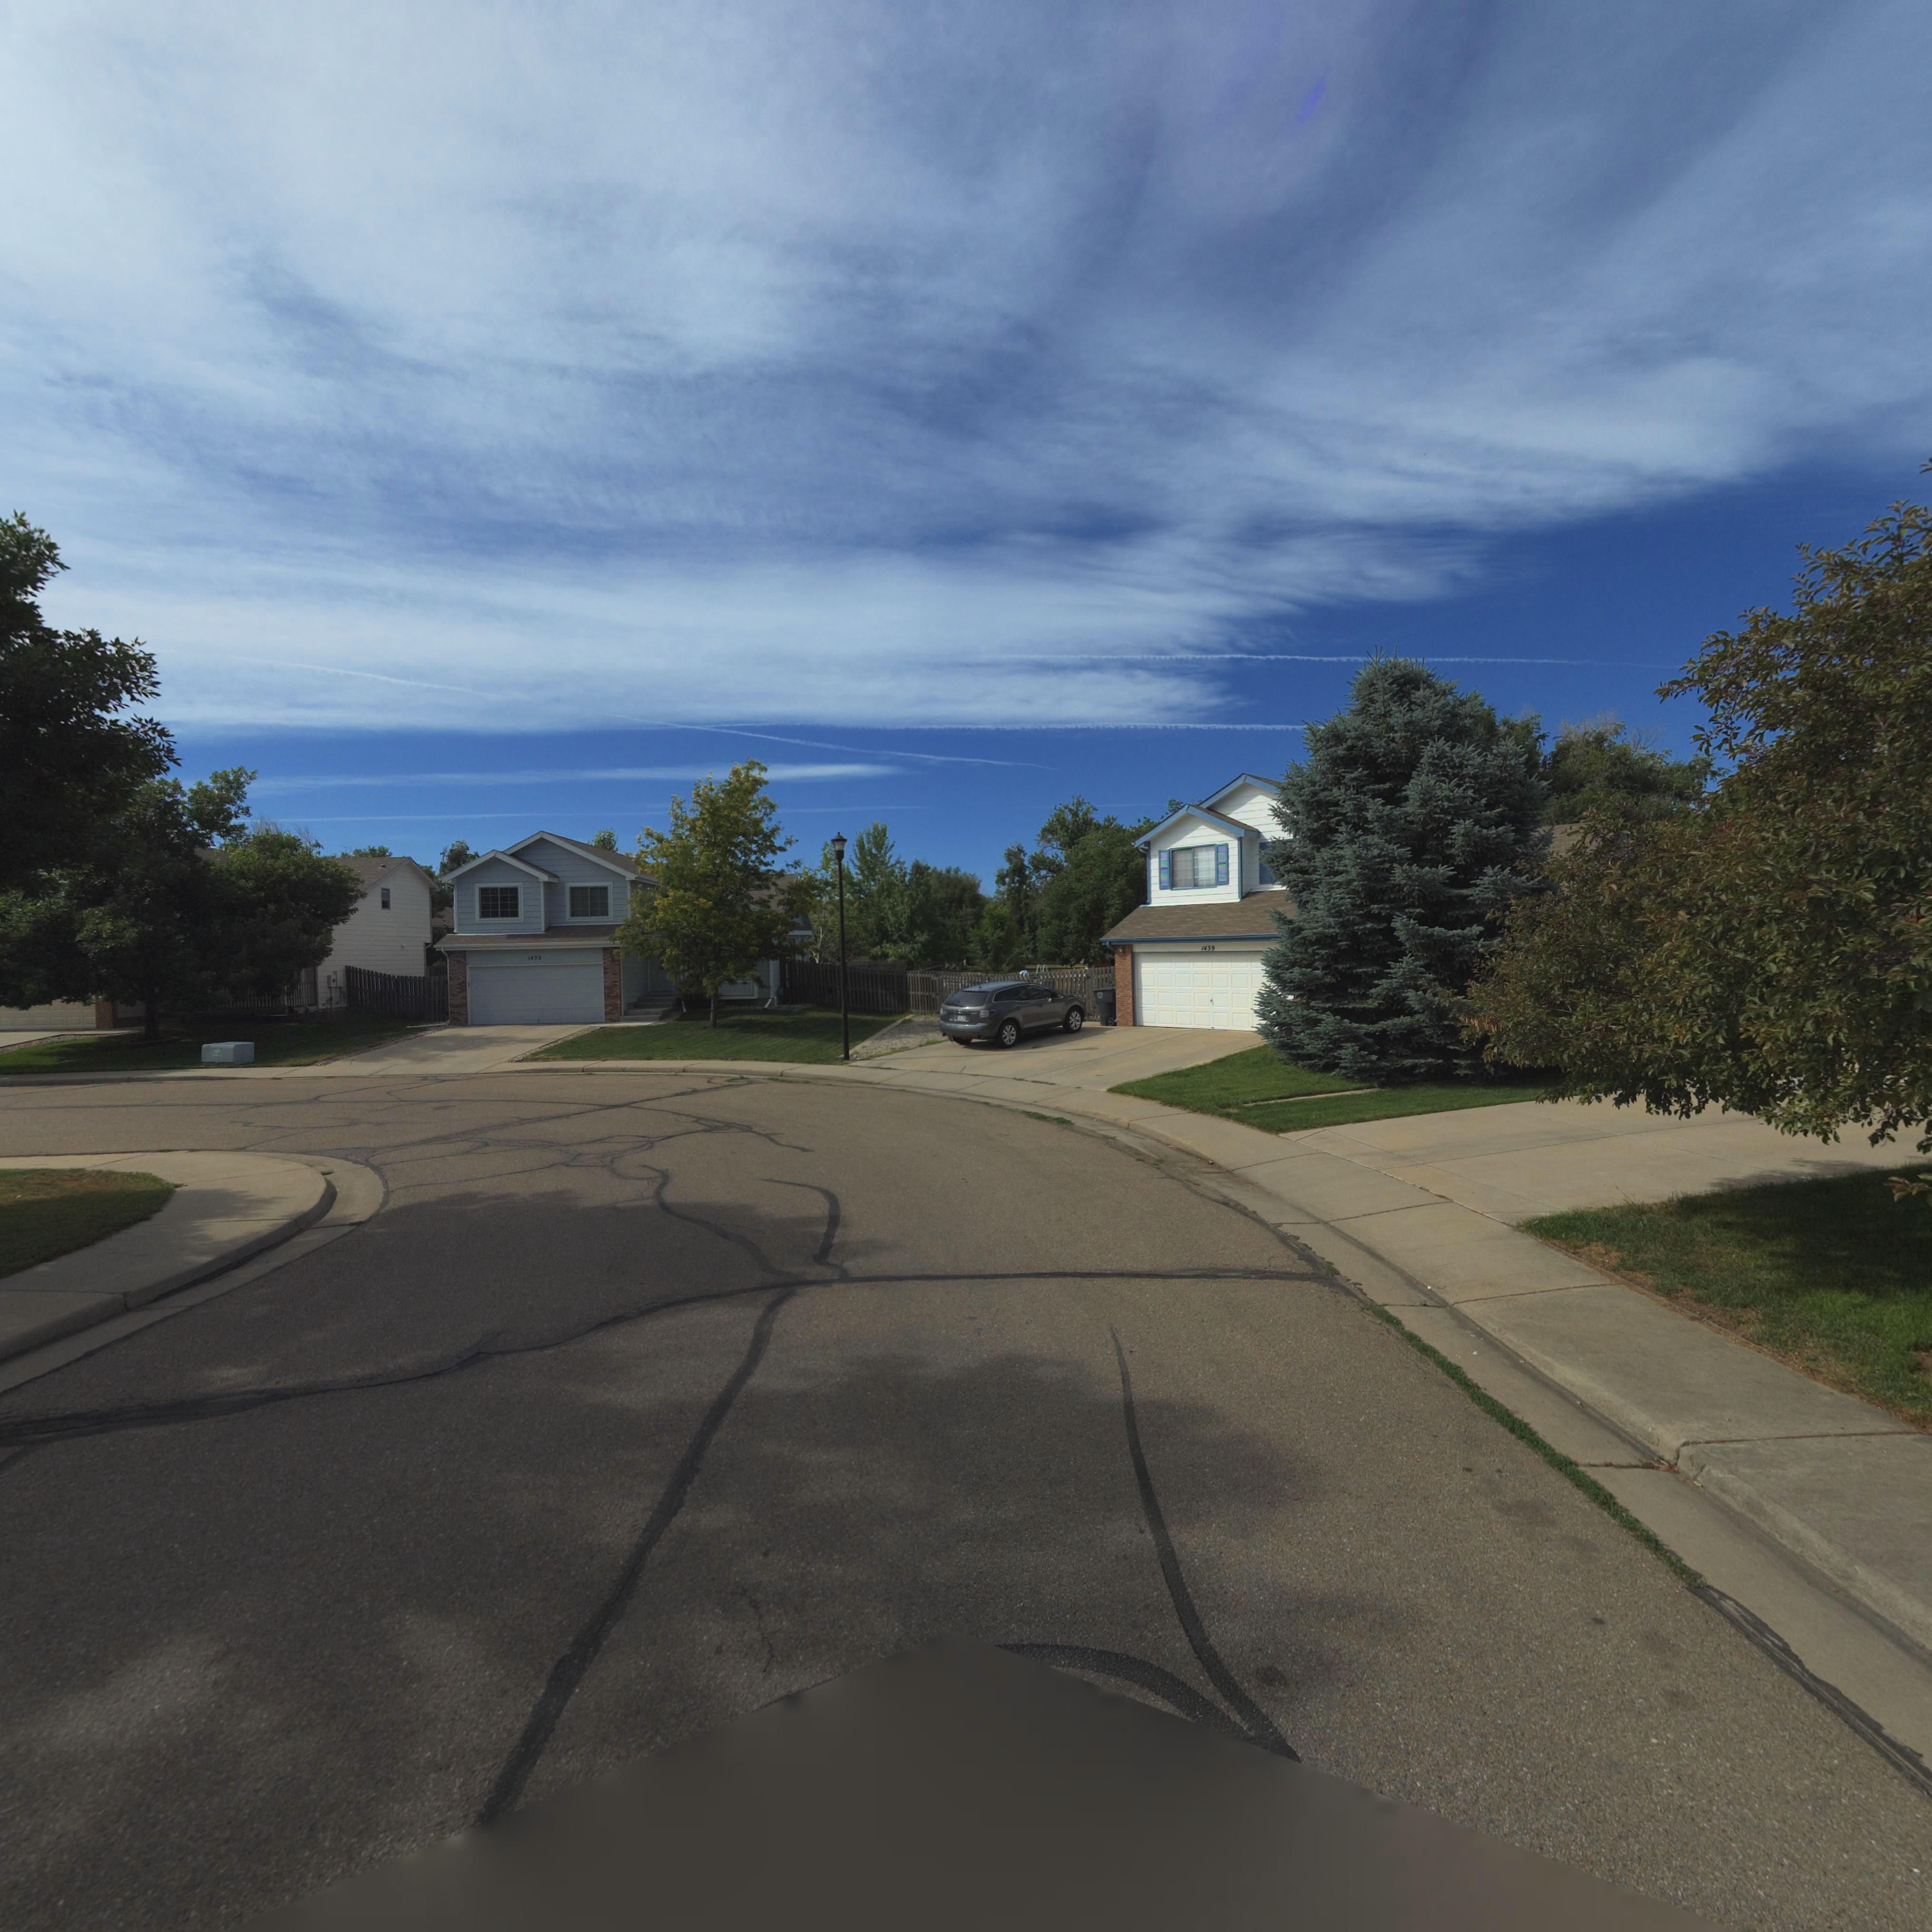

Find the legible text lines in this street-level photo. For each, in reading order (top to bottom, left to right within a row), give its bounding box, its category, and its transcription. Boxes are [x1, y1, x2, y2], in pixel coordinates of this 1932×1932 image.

[1200, 945, 1215, 951] StreetNumber: 1439
[528, 955, 542, 960] StreetNumber: 1433